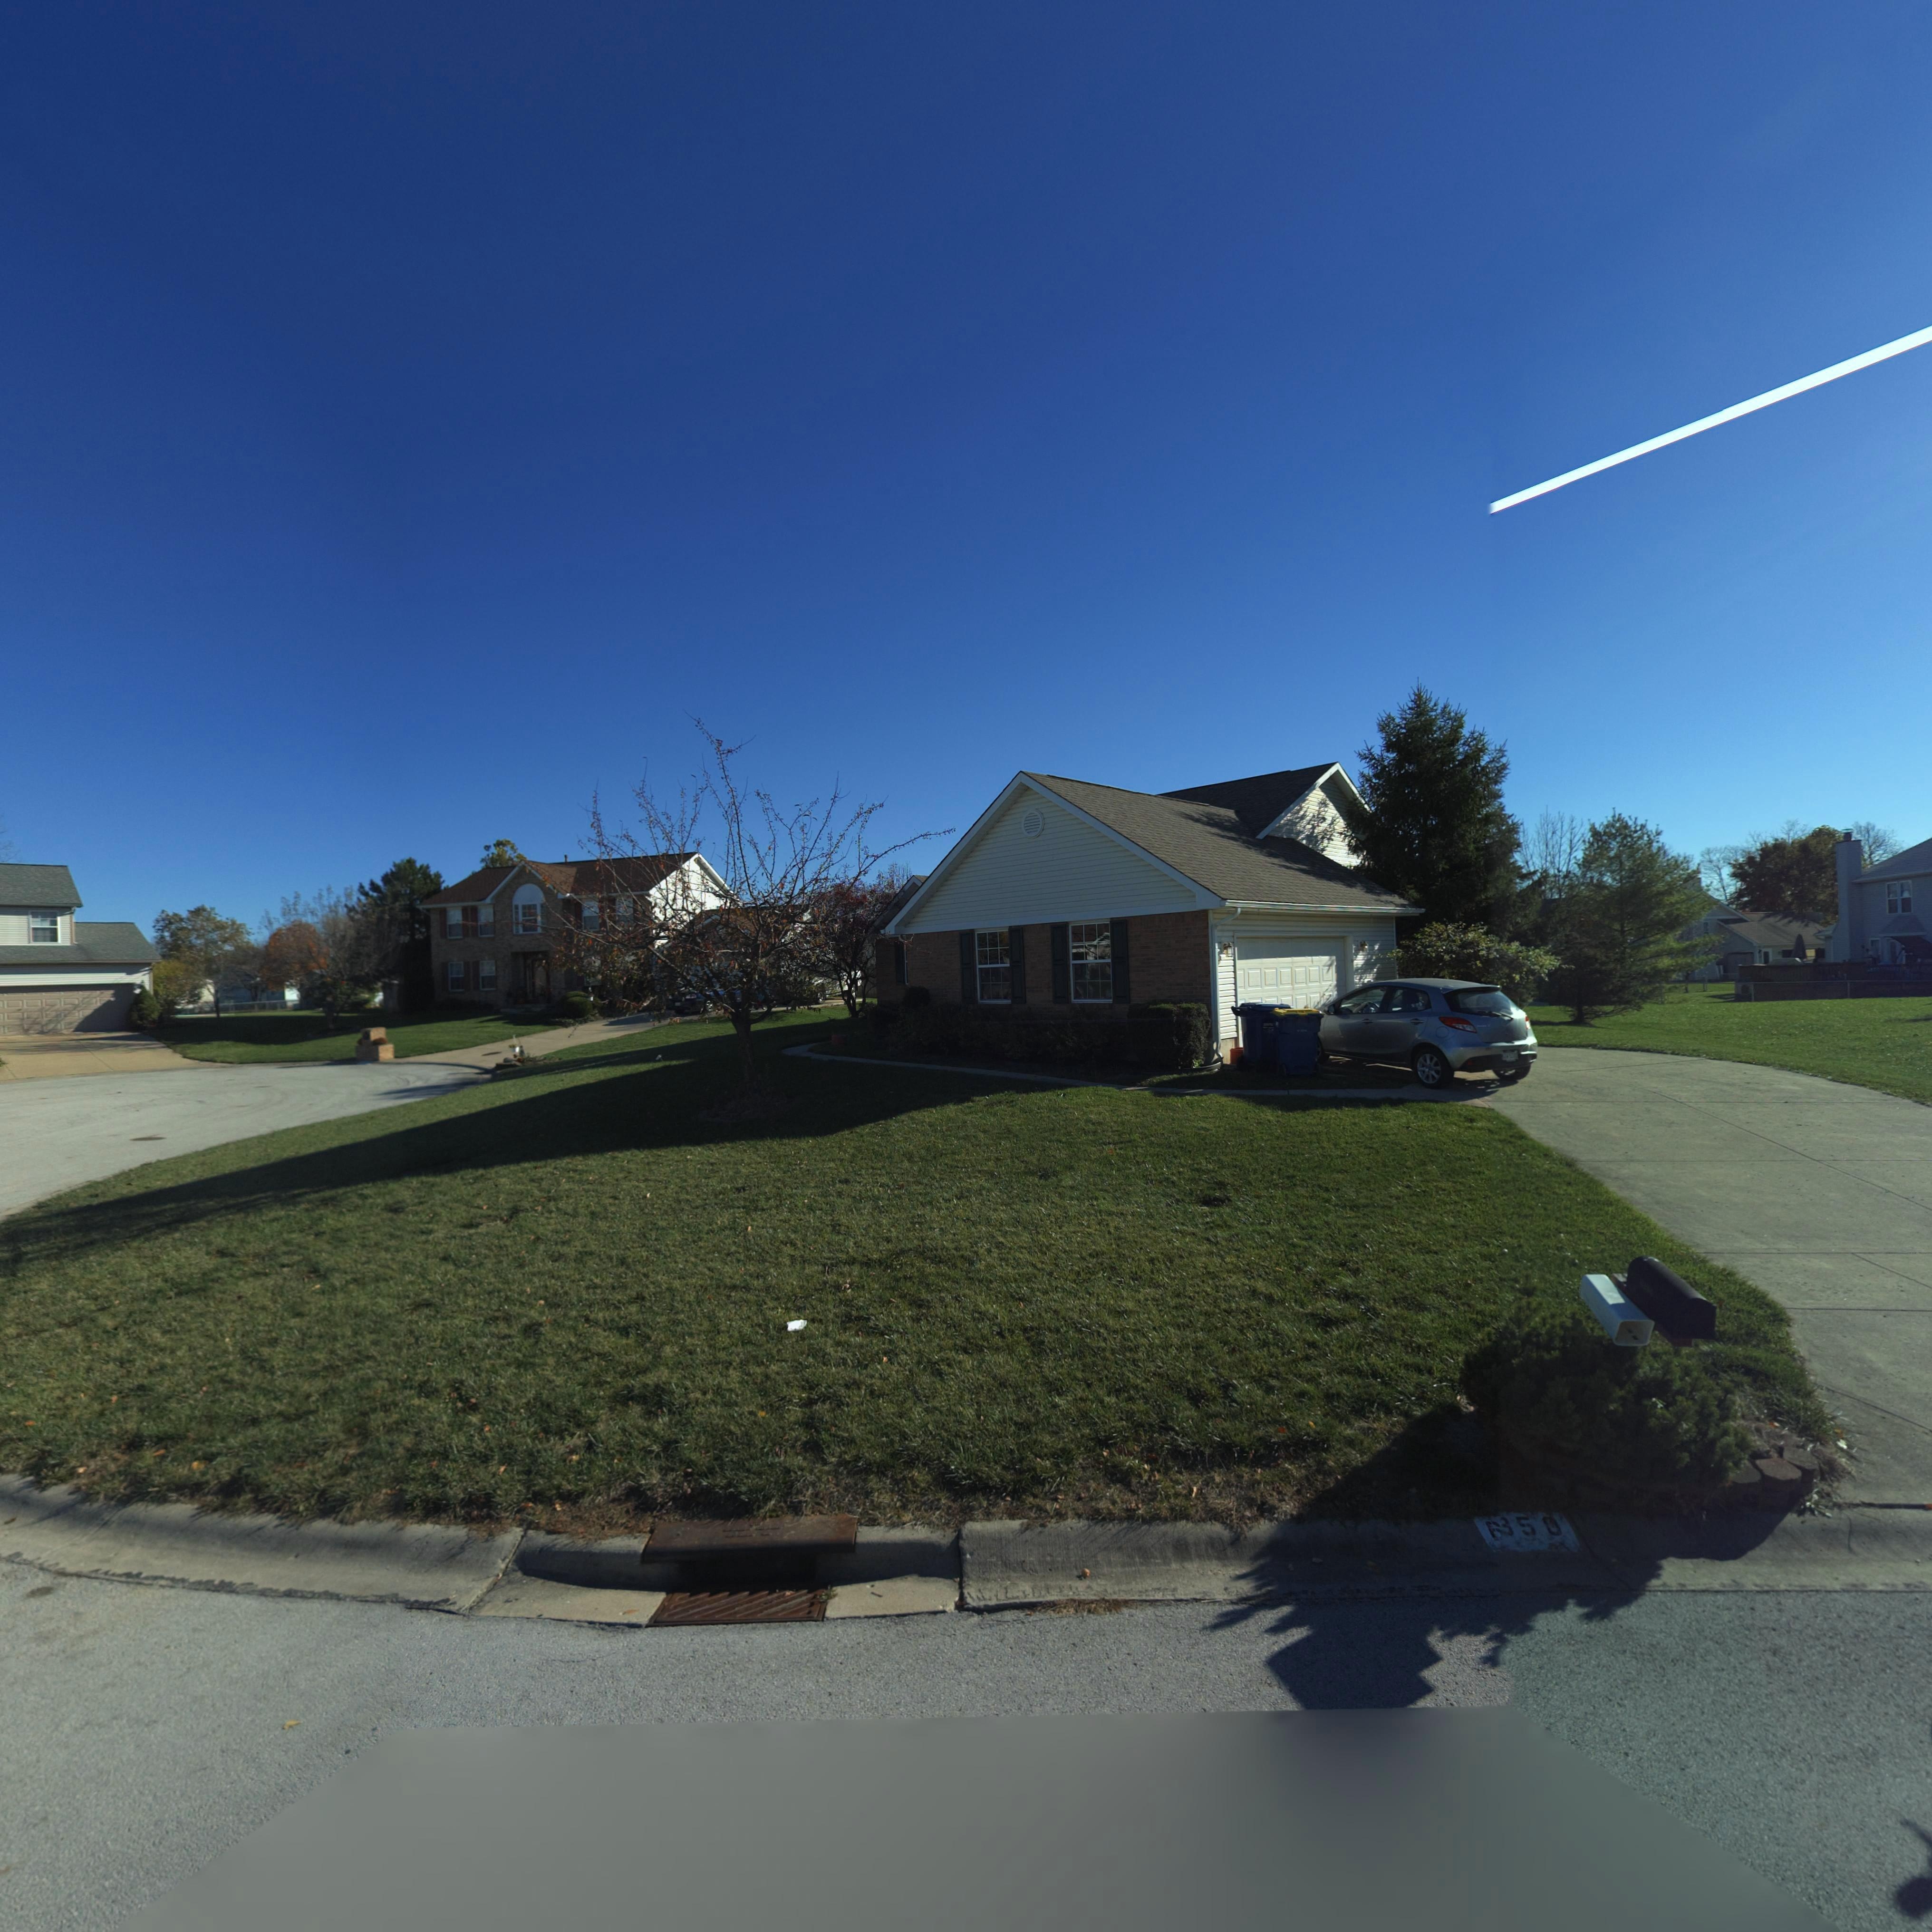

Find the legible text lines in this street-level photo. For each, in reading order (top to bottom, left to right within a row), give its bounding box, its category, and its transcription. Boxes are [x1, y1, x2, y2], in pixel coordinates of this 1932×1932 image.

[1484, 1516, 1565, 1543] StreetNumber: 6*50